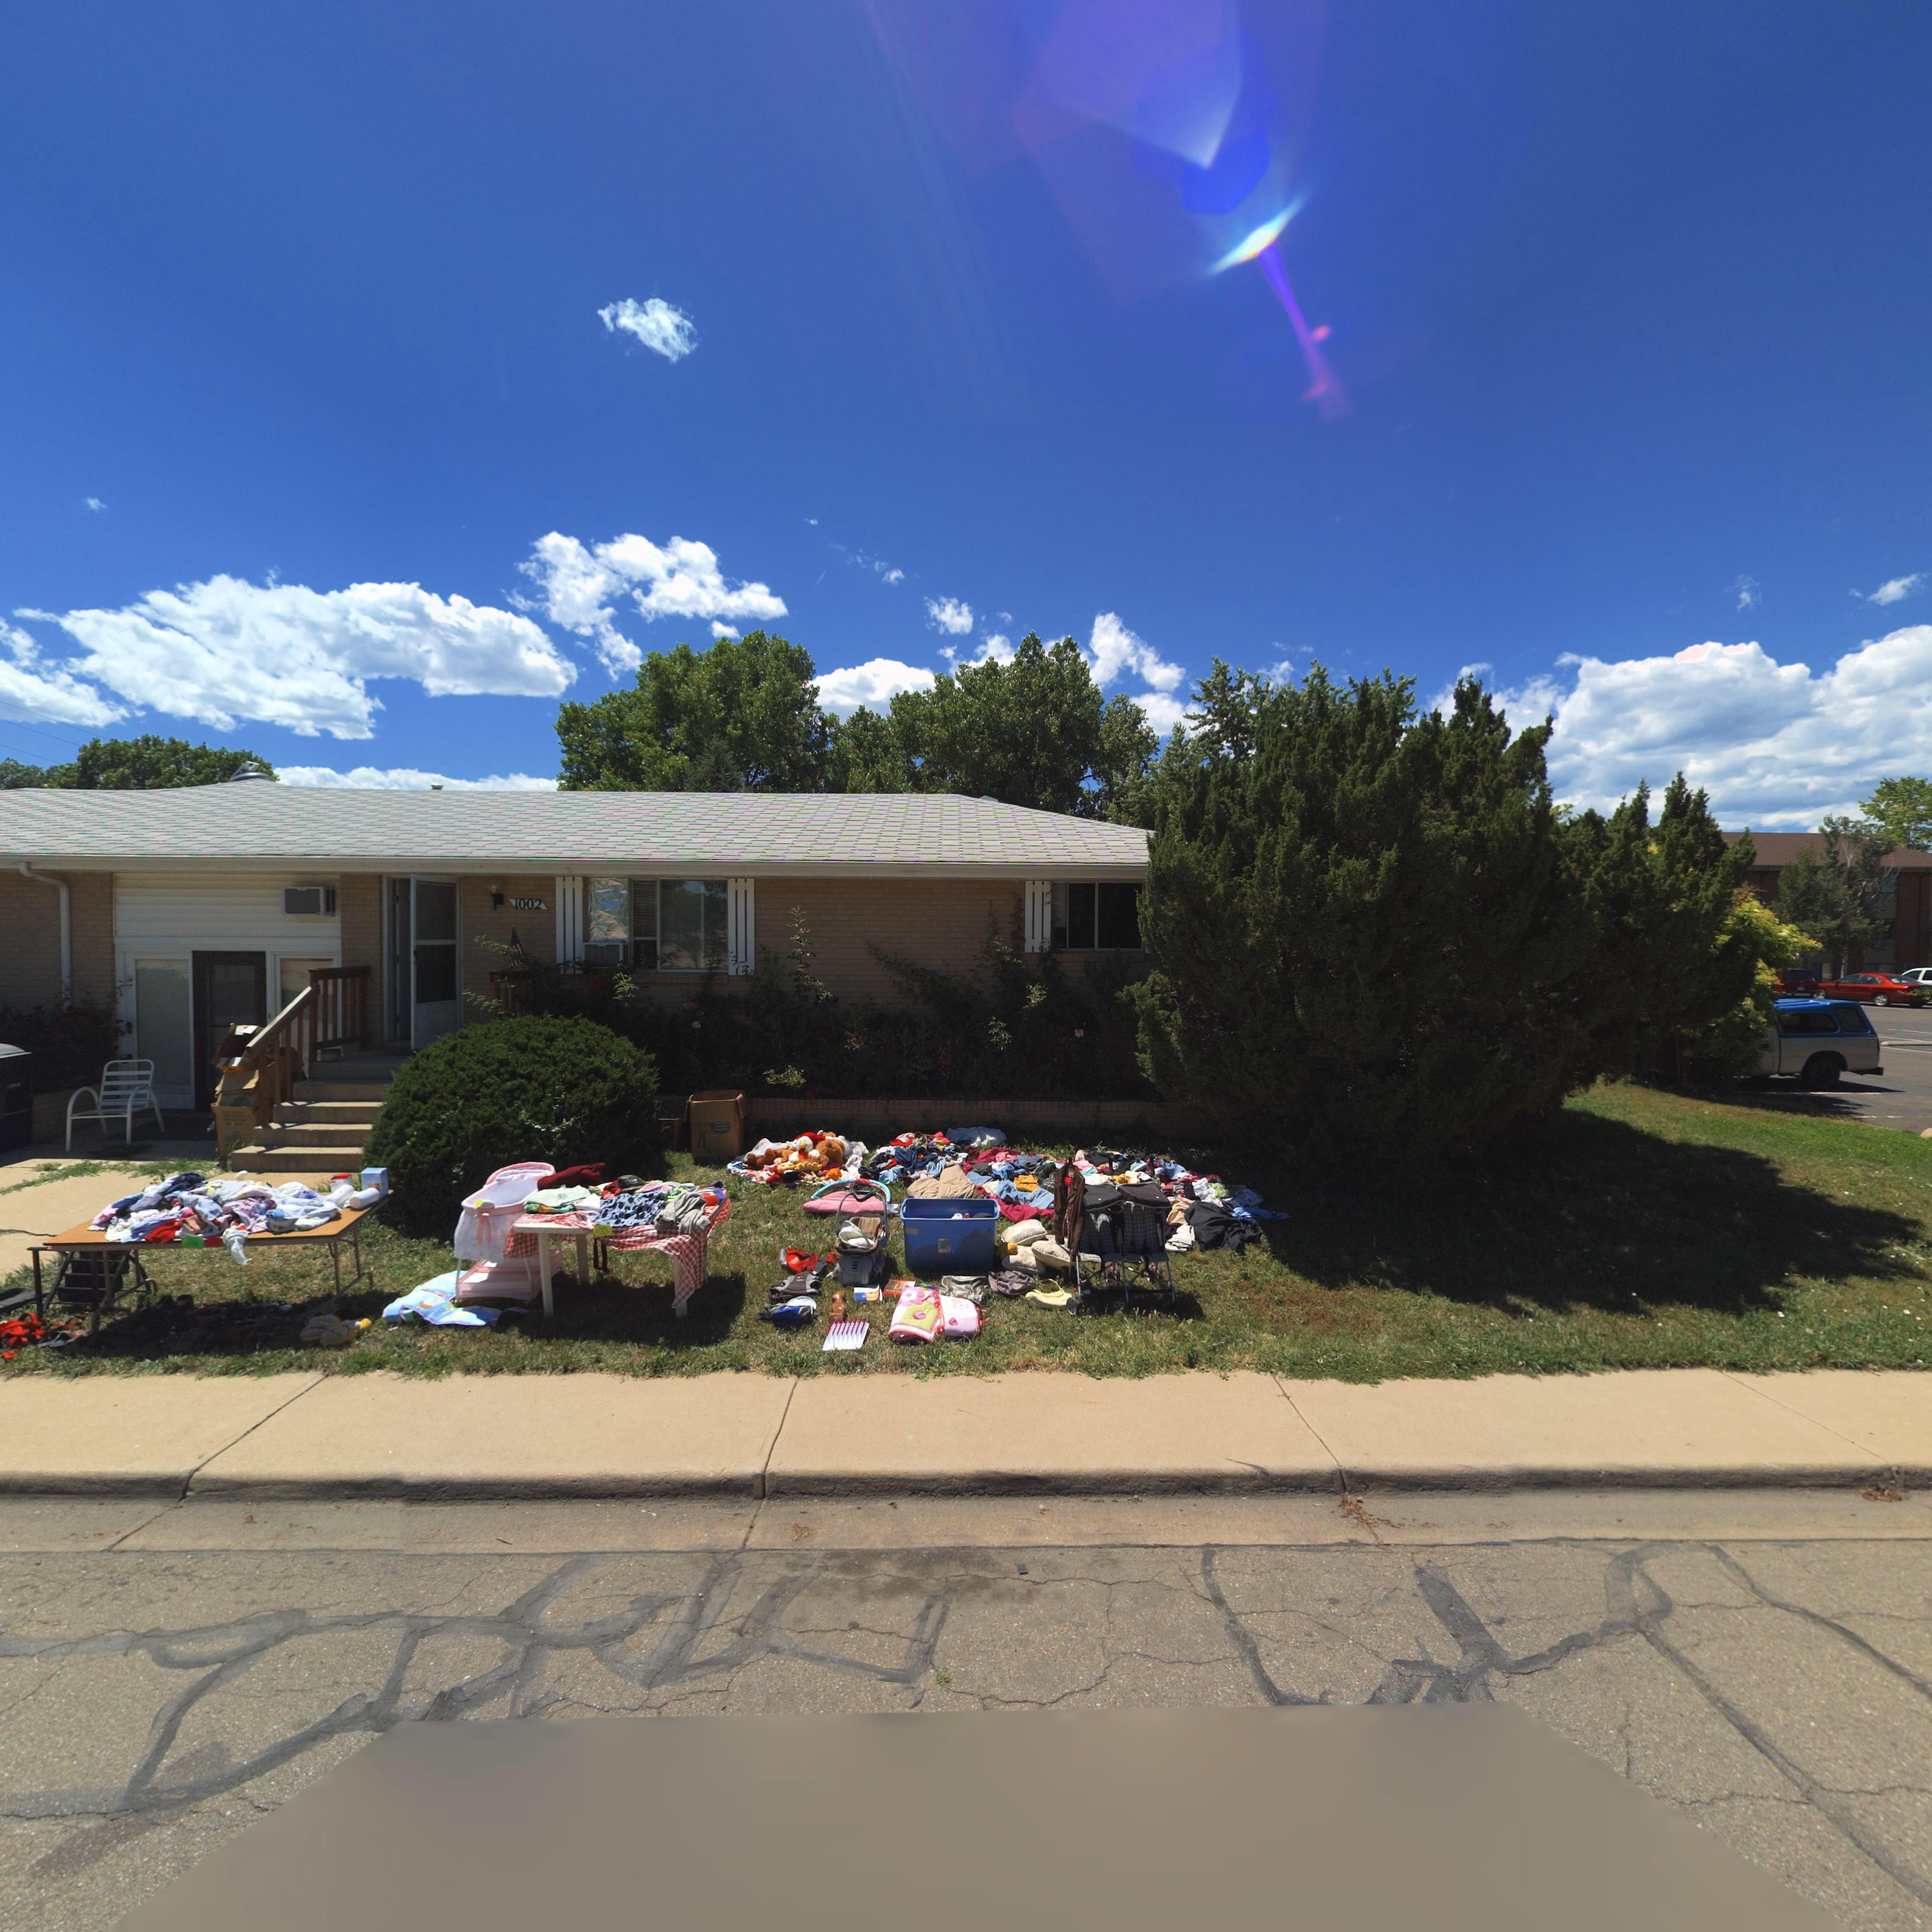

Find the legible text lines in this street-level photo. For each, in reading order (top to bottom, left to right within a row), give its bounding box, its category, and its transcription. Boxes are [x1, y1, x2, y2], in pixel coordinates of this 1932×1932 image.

[514, 898, 541, 910] StreetNumber: 1002